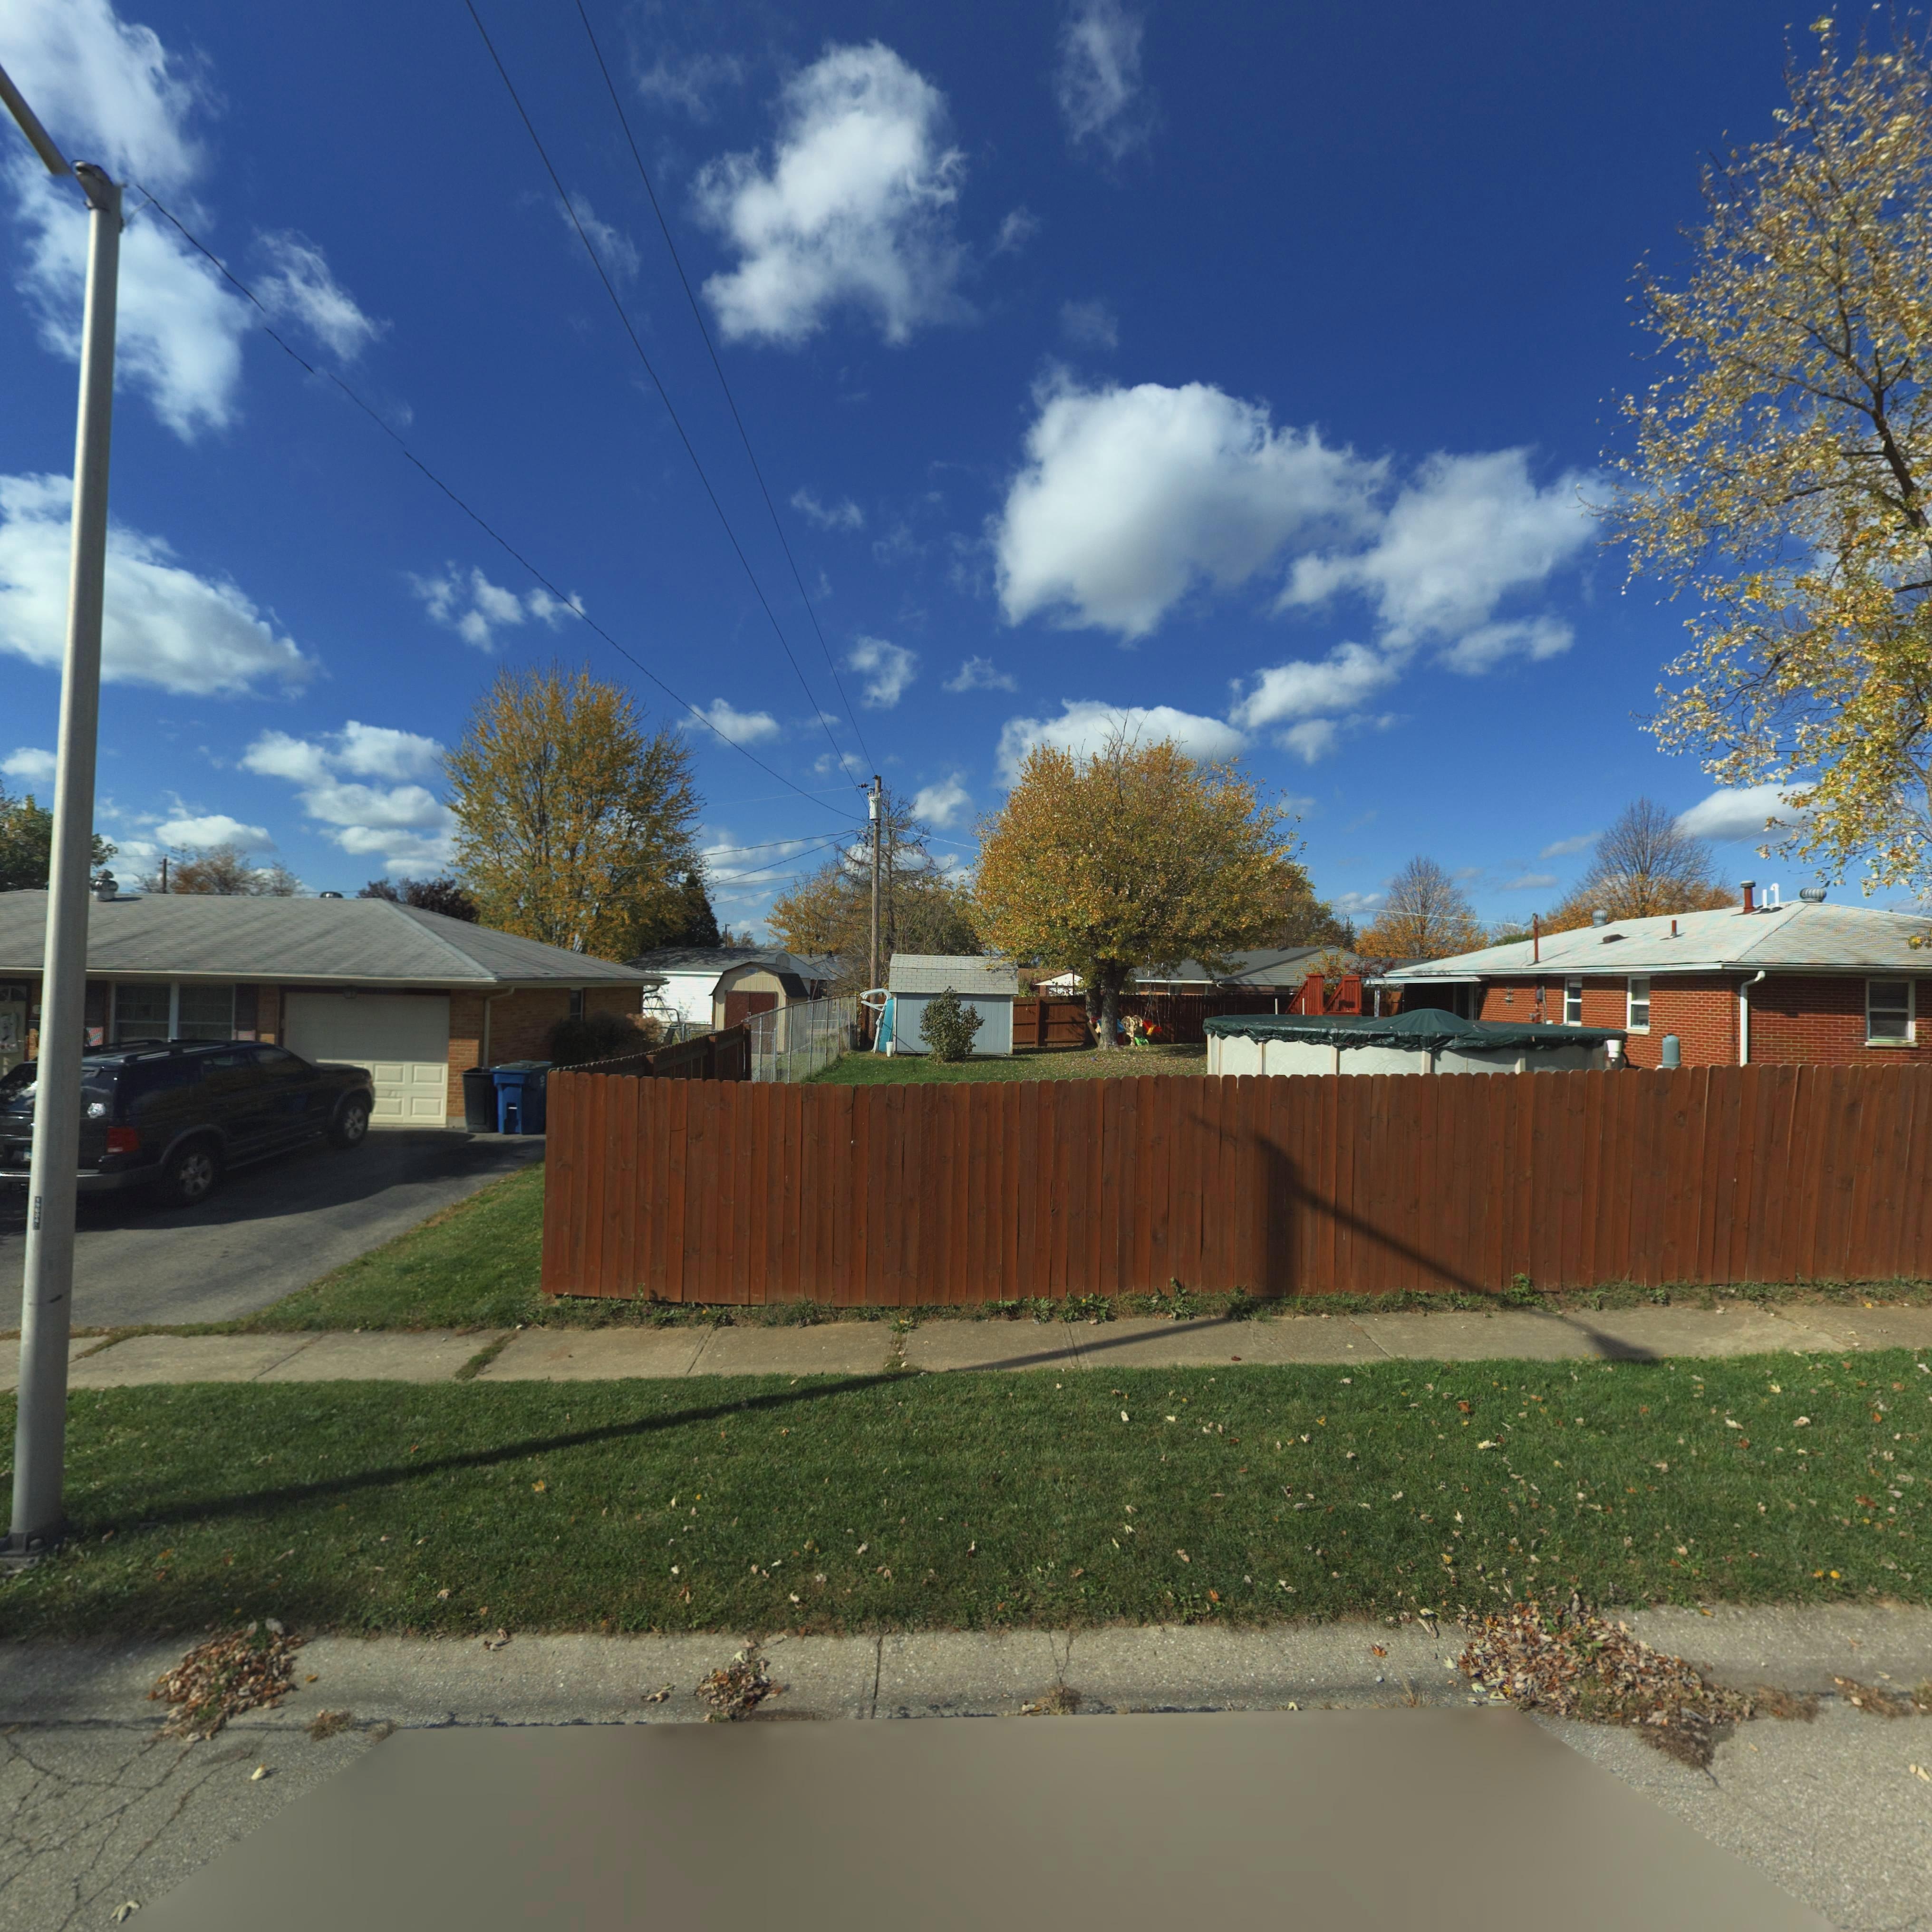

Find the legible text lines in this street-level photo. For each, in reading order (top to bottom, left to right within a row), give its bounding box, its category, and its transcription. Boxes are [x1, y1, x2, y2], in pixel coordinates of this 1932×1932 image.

[36, 1005, 41, 1013] StreetNumber: 7